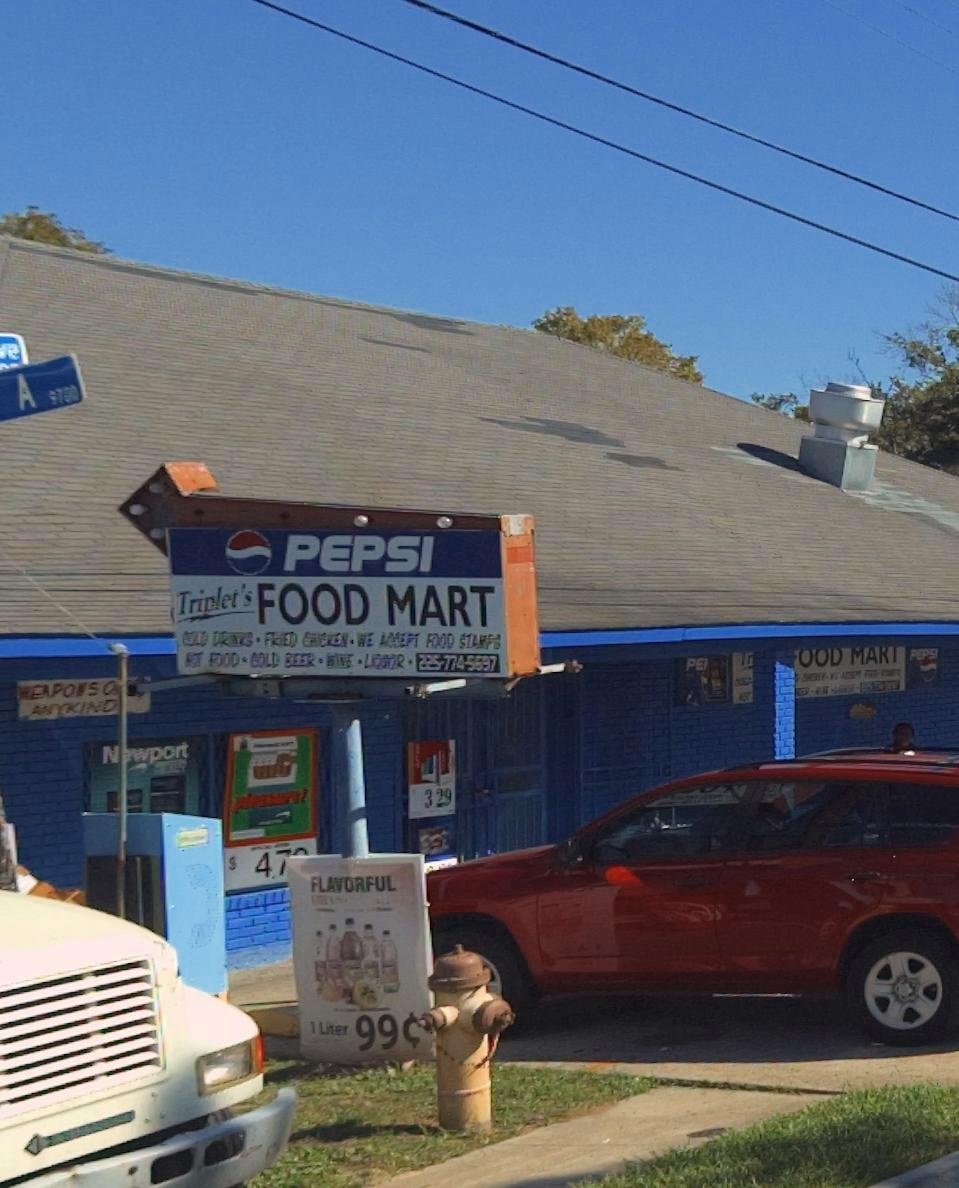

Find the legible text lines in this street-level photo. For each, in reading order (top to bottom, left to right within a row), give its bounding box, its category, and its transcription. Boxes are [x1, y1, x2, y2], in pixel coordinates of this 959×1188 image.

[6, 341, 21, 362] StreetName: e
[16, 371, 40, 413] StreetName: A
[45, 382, 82, 408] StreetNumberRange: 97**
[282, 534, 436, 573] None: PEPSI
[176, 581, 496, 628] BusinessName: Triplet's FOOD MART
[180, 629, 503, 650] None: COLD DRINKS - FRIED CHICKEN - WE ACCEPT FOOD STAMPS
[208, 651, 406, 669] None: FOOD - COLD BEER - WINE - LIQUOR
[418, 653, 499, 672] None: 225-774-5697
[685, 656, 705, 673] None: PE
[909, 647, 939, 662] None: PEPSI
[17, 681, 100, 702] None: WEAPONS
[29, 698, 120, 718] None: ANYKIND
[100, 739, 191, 766] None: N*wport
[423, 786, 453, 810] None: 3.29
[253, 850, 273, 878] None: 4
[310, 874, 398, 894] None: FLAVORFUL
[309, 1019, 350, 1037] None: 1 Liter
[356, 1012, 400, 1052] None: 99